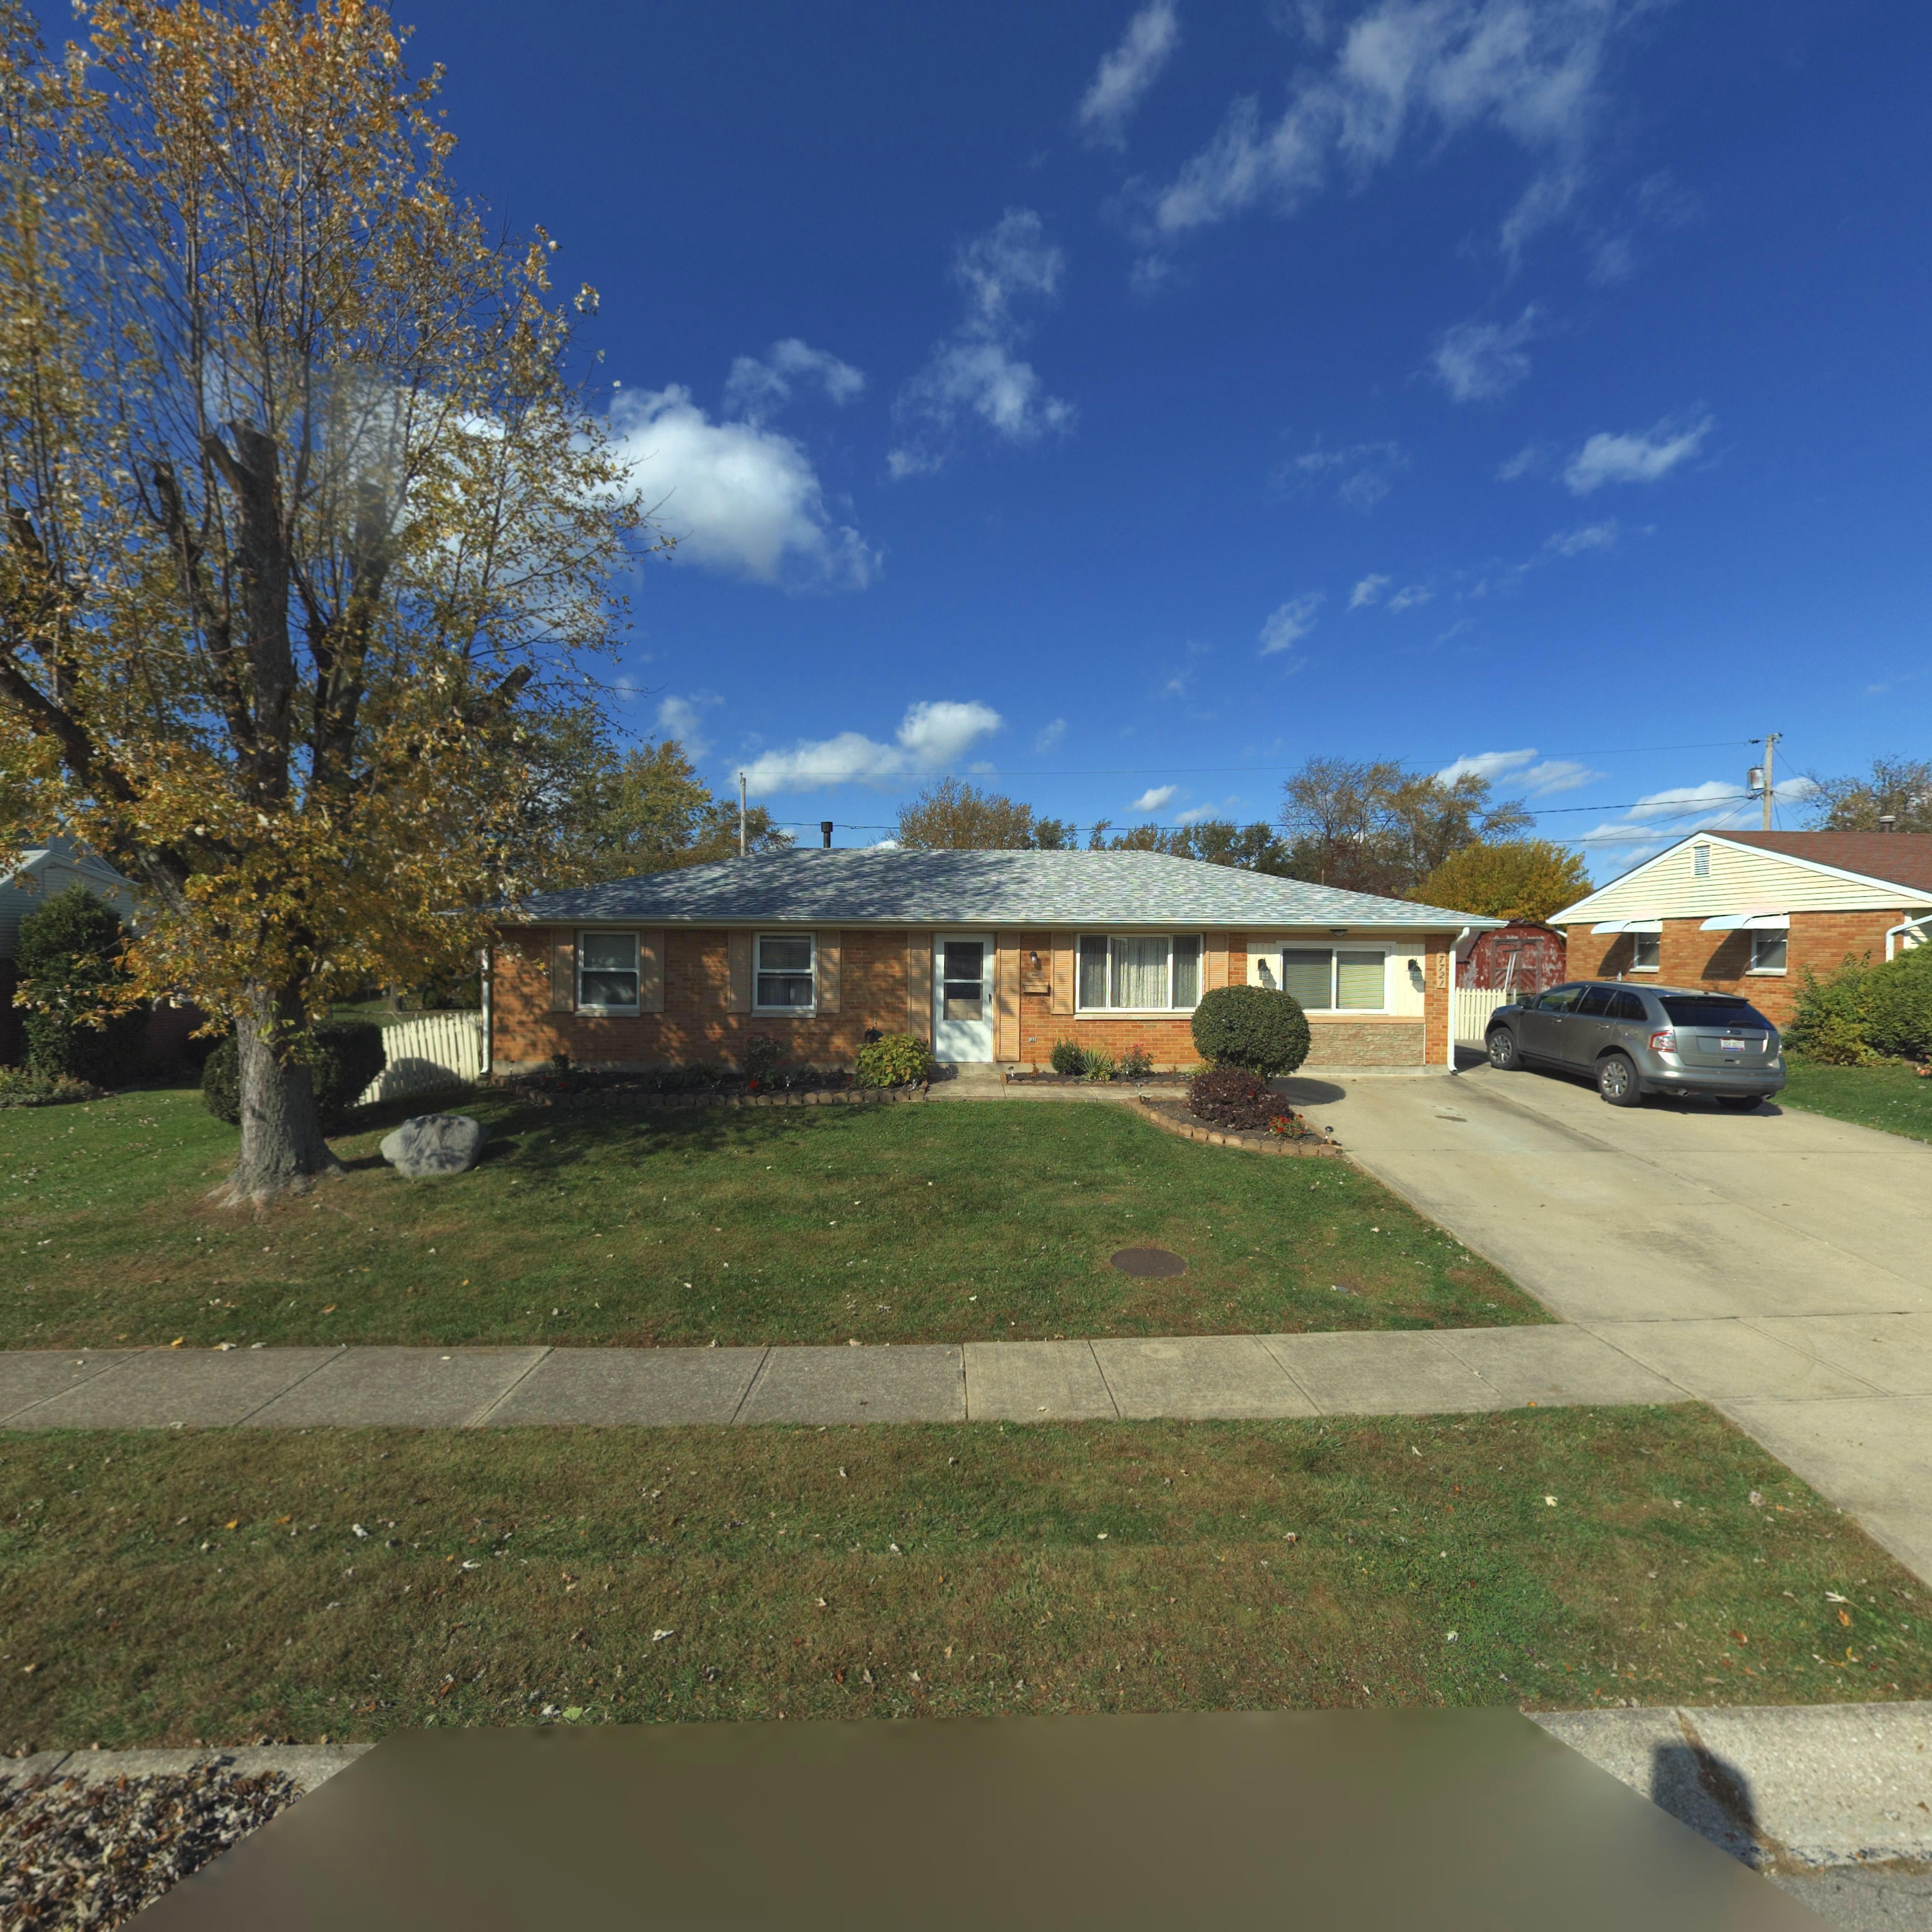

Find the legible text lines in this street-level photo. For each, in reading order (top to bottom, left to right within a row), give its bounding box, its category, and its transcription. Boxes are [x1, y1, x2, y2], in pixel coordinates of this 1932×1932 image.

[1031, 974, 1039, 976] StreetNumber: 7***